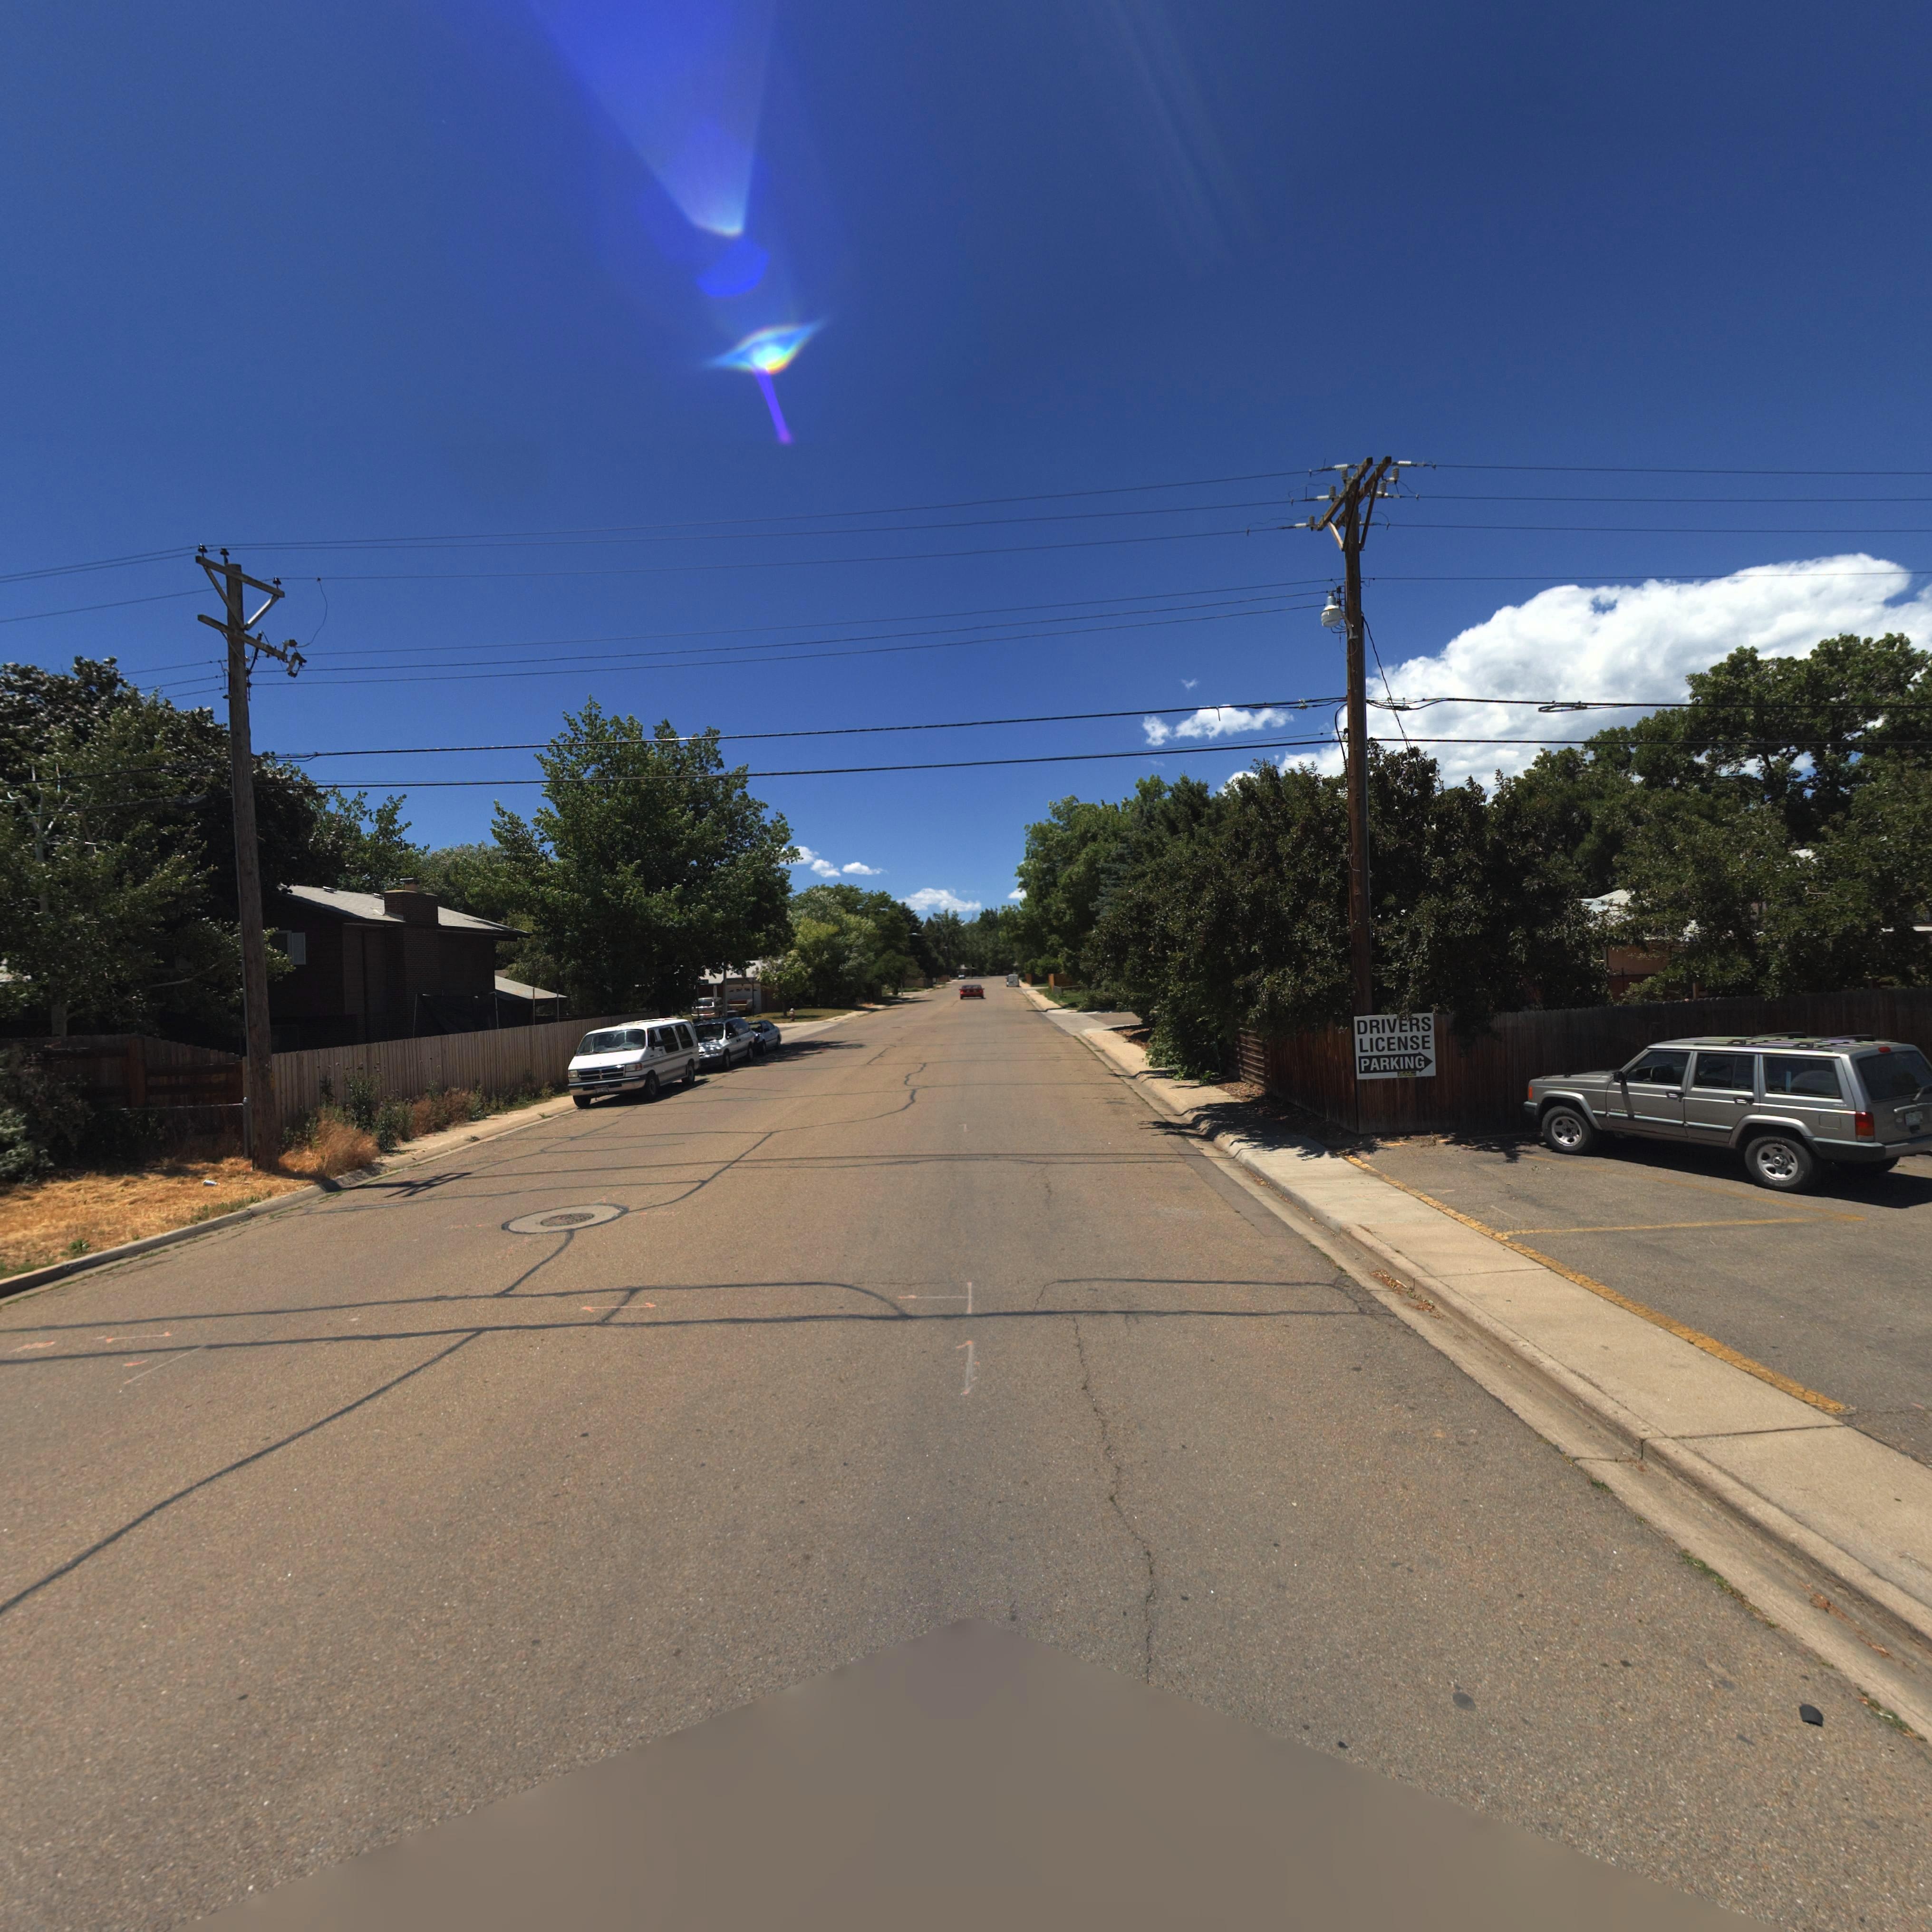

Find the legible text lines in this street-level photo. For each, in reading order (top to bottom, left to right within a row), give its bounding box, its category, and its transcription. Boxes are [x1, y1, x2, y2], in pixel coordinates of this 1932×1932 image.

[1356, 1015, 1432, 1035] BusinessName: DRIVERS
[1359, 1034, 1431, 1053] BusinessName: LICENSE